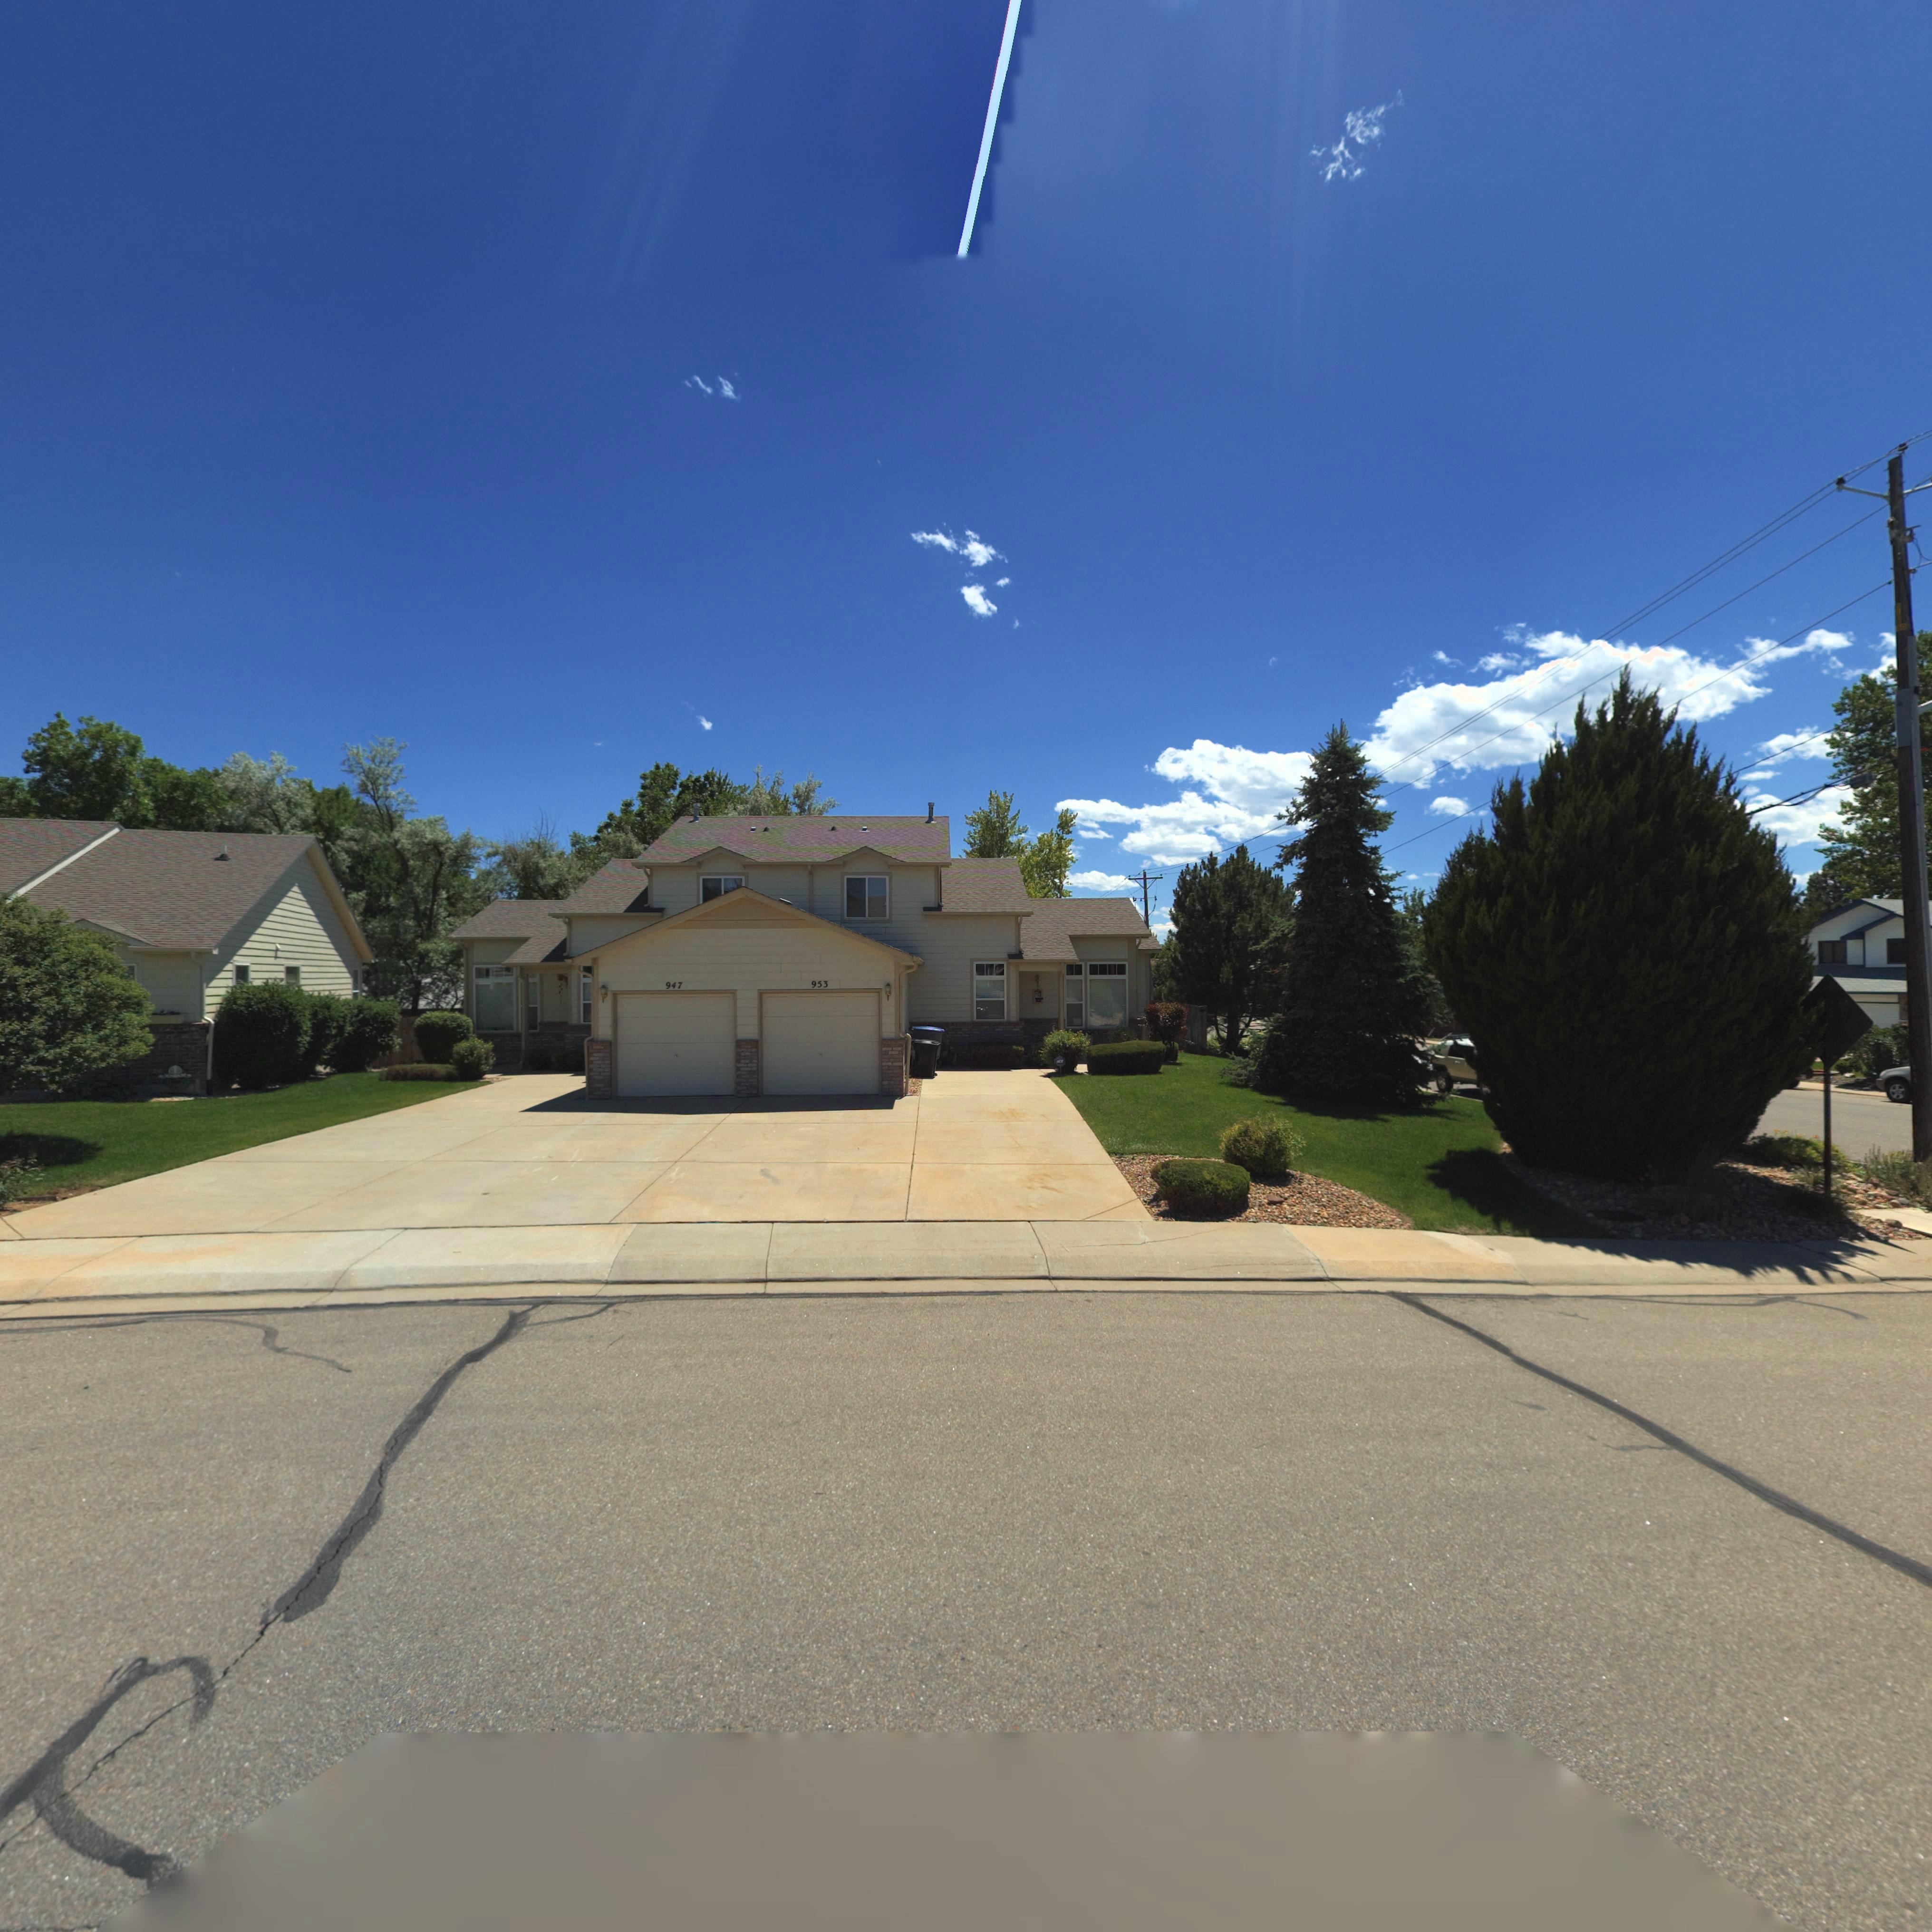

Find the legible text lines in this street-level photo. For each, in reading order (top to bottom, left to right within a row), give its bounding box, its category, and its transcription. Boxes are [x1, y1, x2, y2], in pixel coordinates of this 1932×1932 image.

[665, 981, 683, 989] StreetNumber: 947
[811, 980, 828, 988] StreetNumber: 953